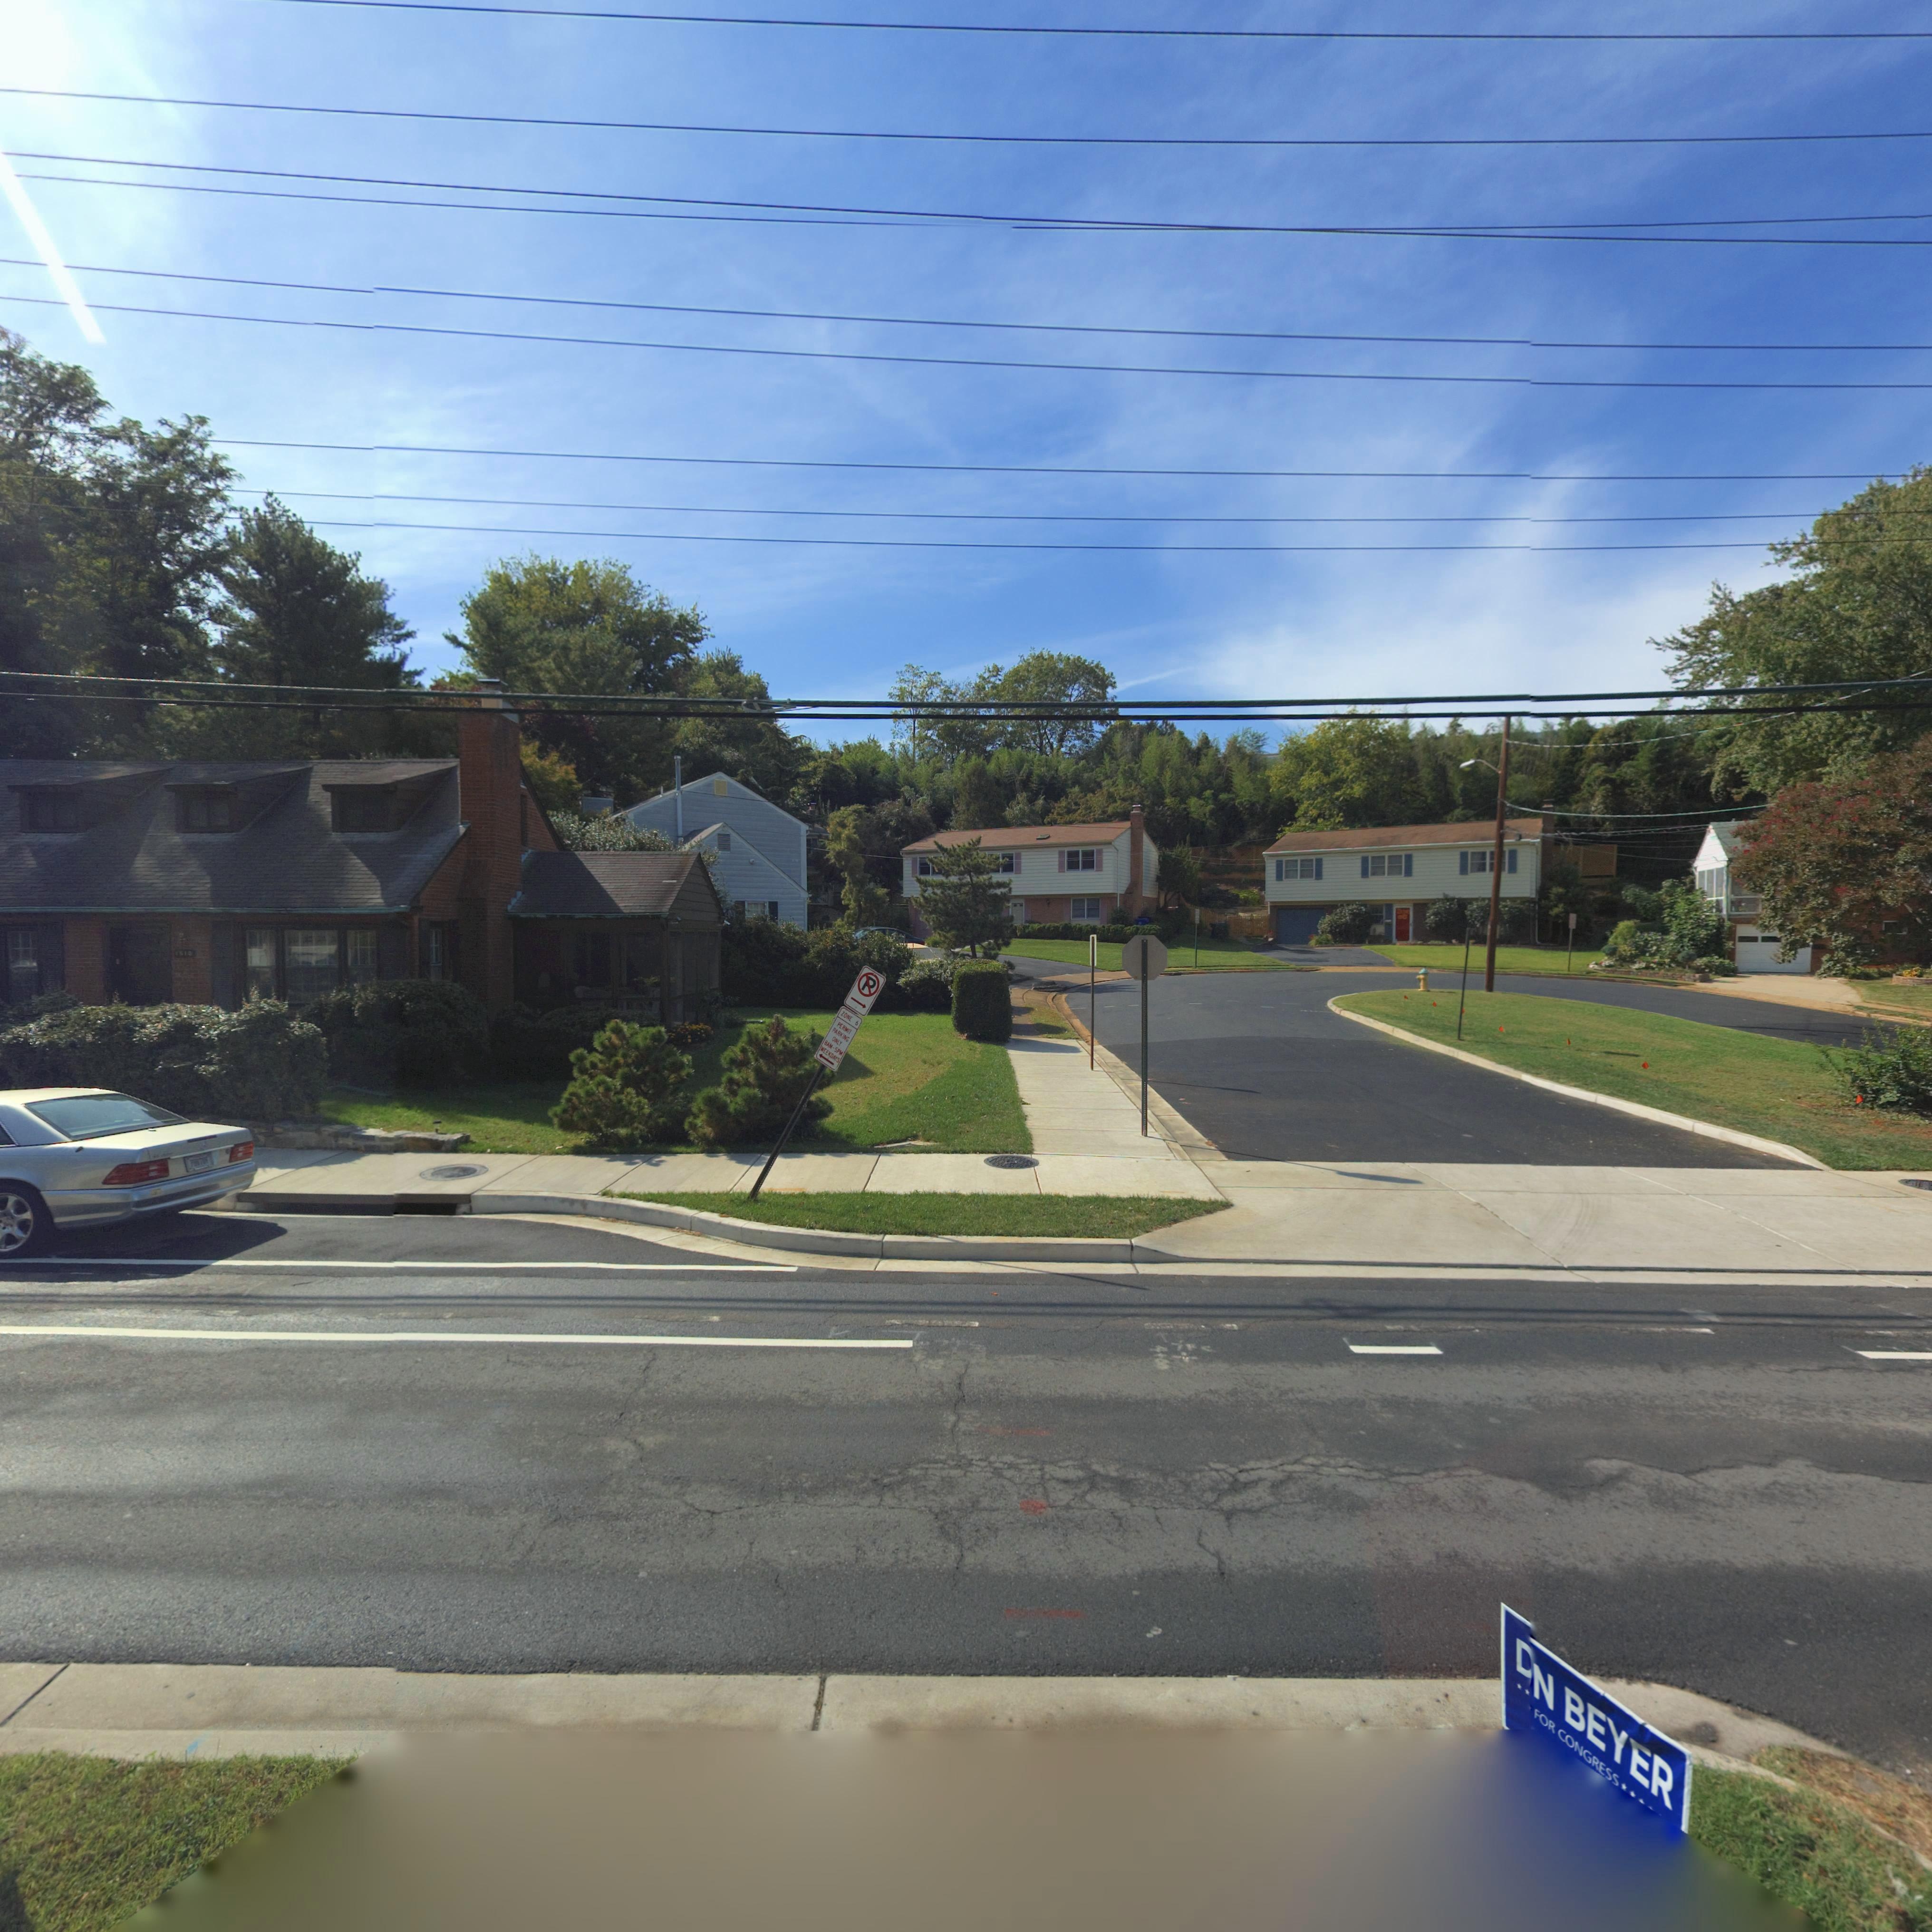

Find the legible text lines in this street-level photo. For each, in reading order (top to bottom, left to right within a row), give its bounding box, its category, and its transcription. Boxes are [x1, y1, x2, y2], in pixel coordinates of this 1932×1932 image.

[839, 1009, 860, 1027] None: ZONE 6
[819, 1044, 842, 1064] None: WEEKDAYS
[823, 1039, 845, 1057] None: 8AM-5PM
[831, 1035, 844, 1047] None: ONLY
[831, 1026, 852, 1043] None: PARKING
[835, 1020, 854, 1036] None: PERMIT
[1531, 1659, 1676, 1813] None: N BEYER
[1532, 1704, 1622, 1788] None: FOR CONGRESS